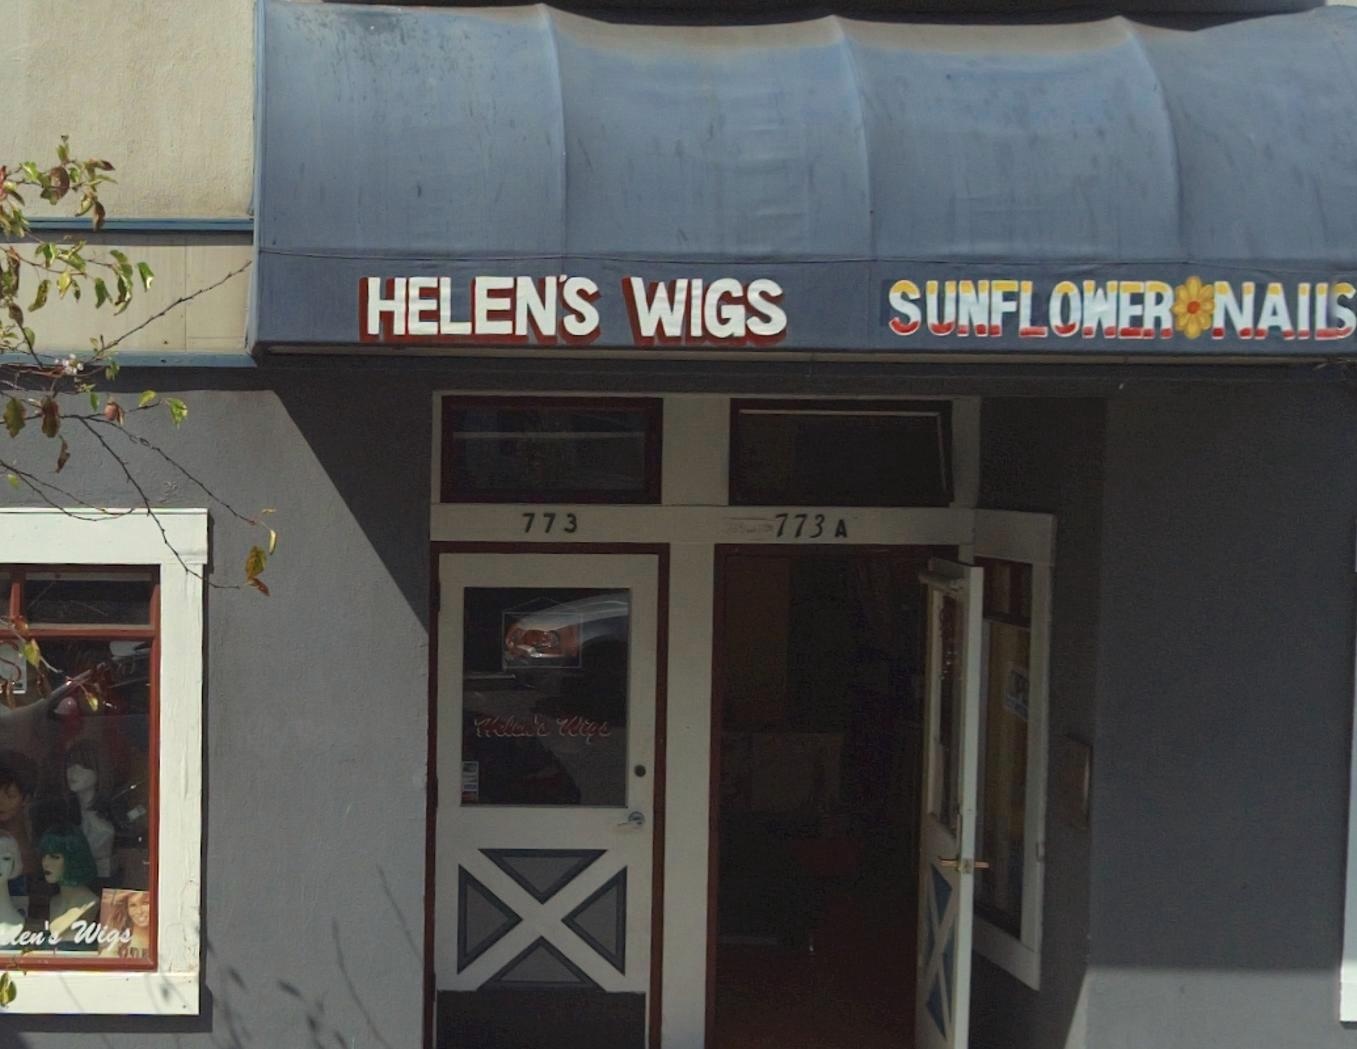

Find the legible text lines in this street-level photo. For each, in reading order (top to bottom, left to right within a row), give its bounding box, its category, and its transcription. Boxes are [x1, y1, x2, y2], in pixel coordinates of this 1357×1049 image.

[361, 273, 790, 341] BusinessName: HELEN'S WIGS
[887, 276, 1353, 344] None: SUNFLOWER*NAI*S
[521, 511, 580, 535] StreetNumber: 773
[774, 510, 851, 539] StreetNumber: 773A
[505, 619, 579, 661] None: OPEN
[469, 712, 614, 745] None: Helen's Wigs
[7, 917, 133, 955] BusinessName: len's Wigs